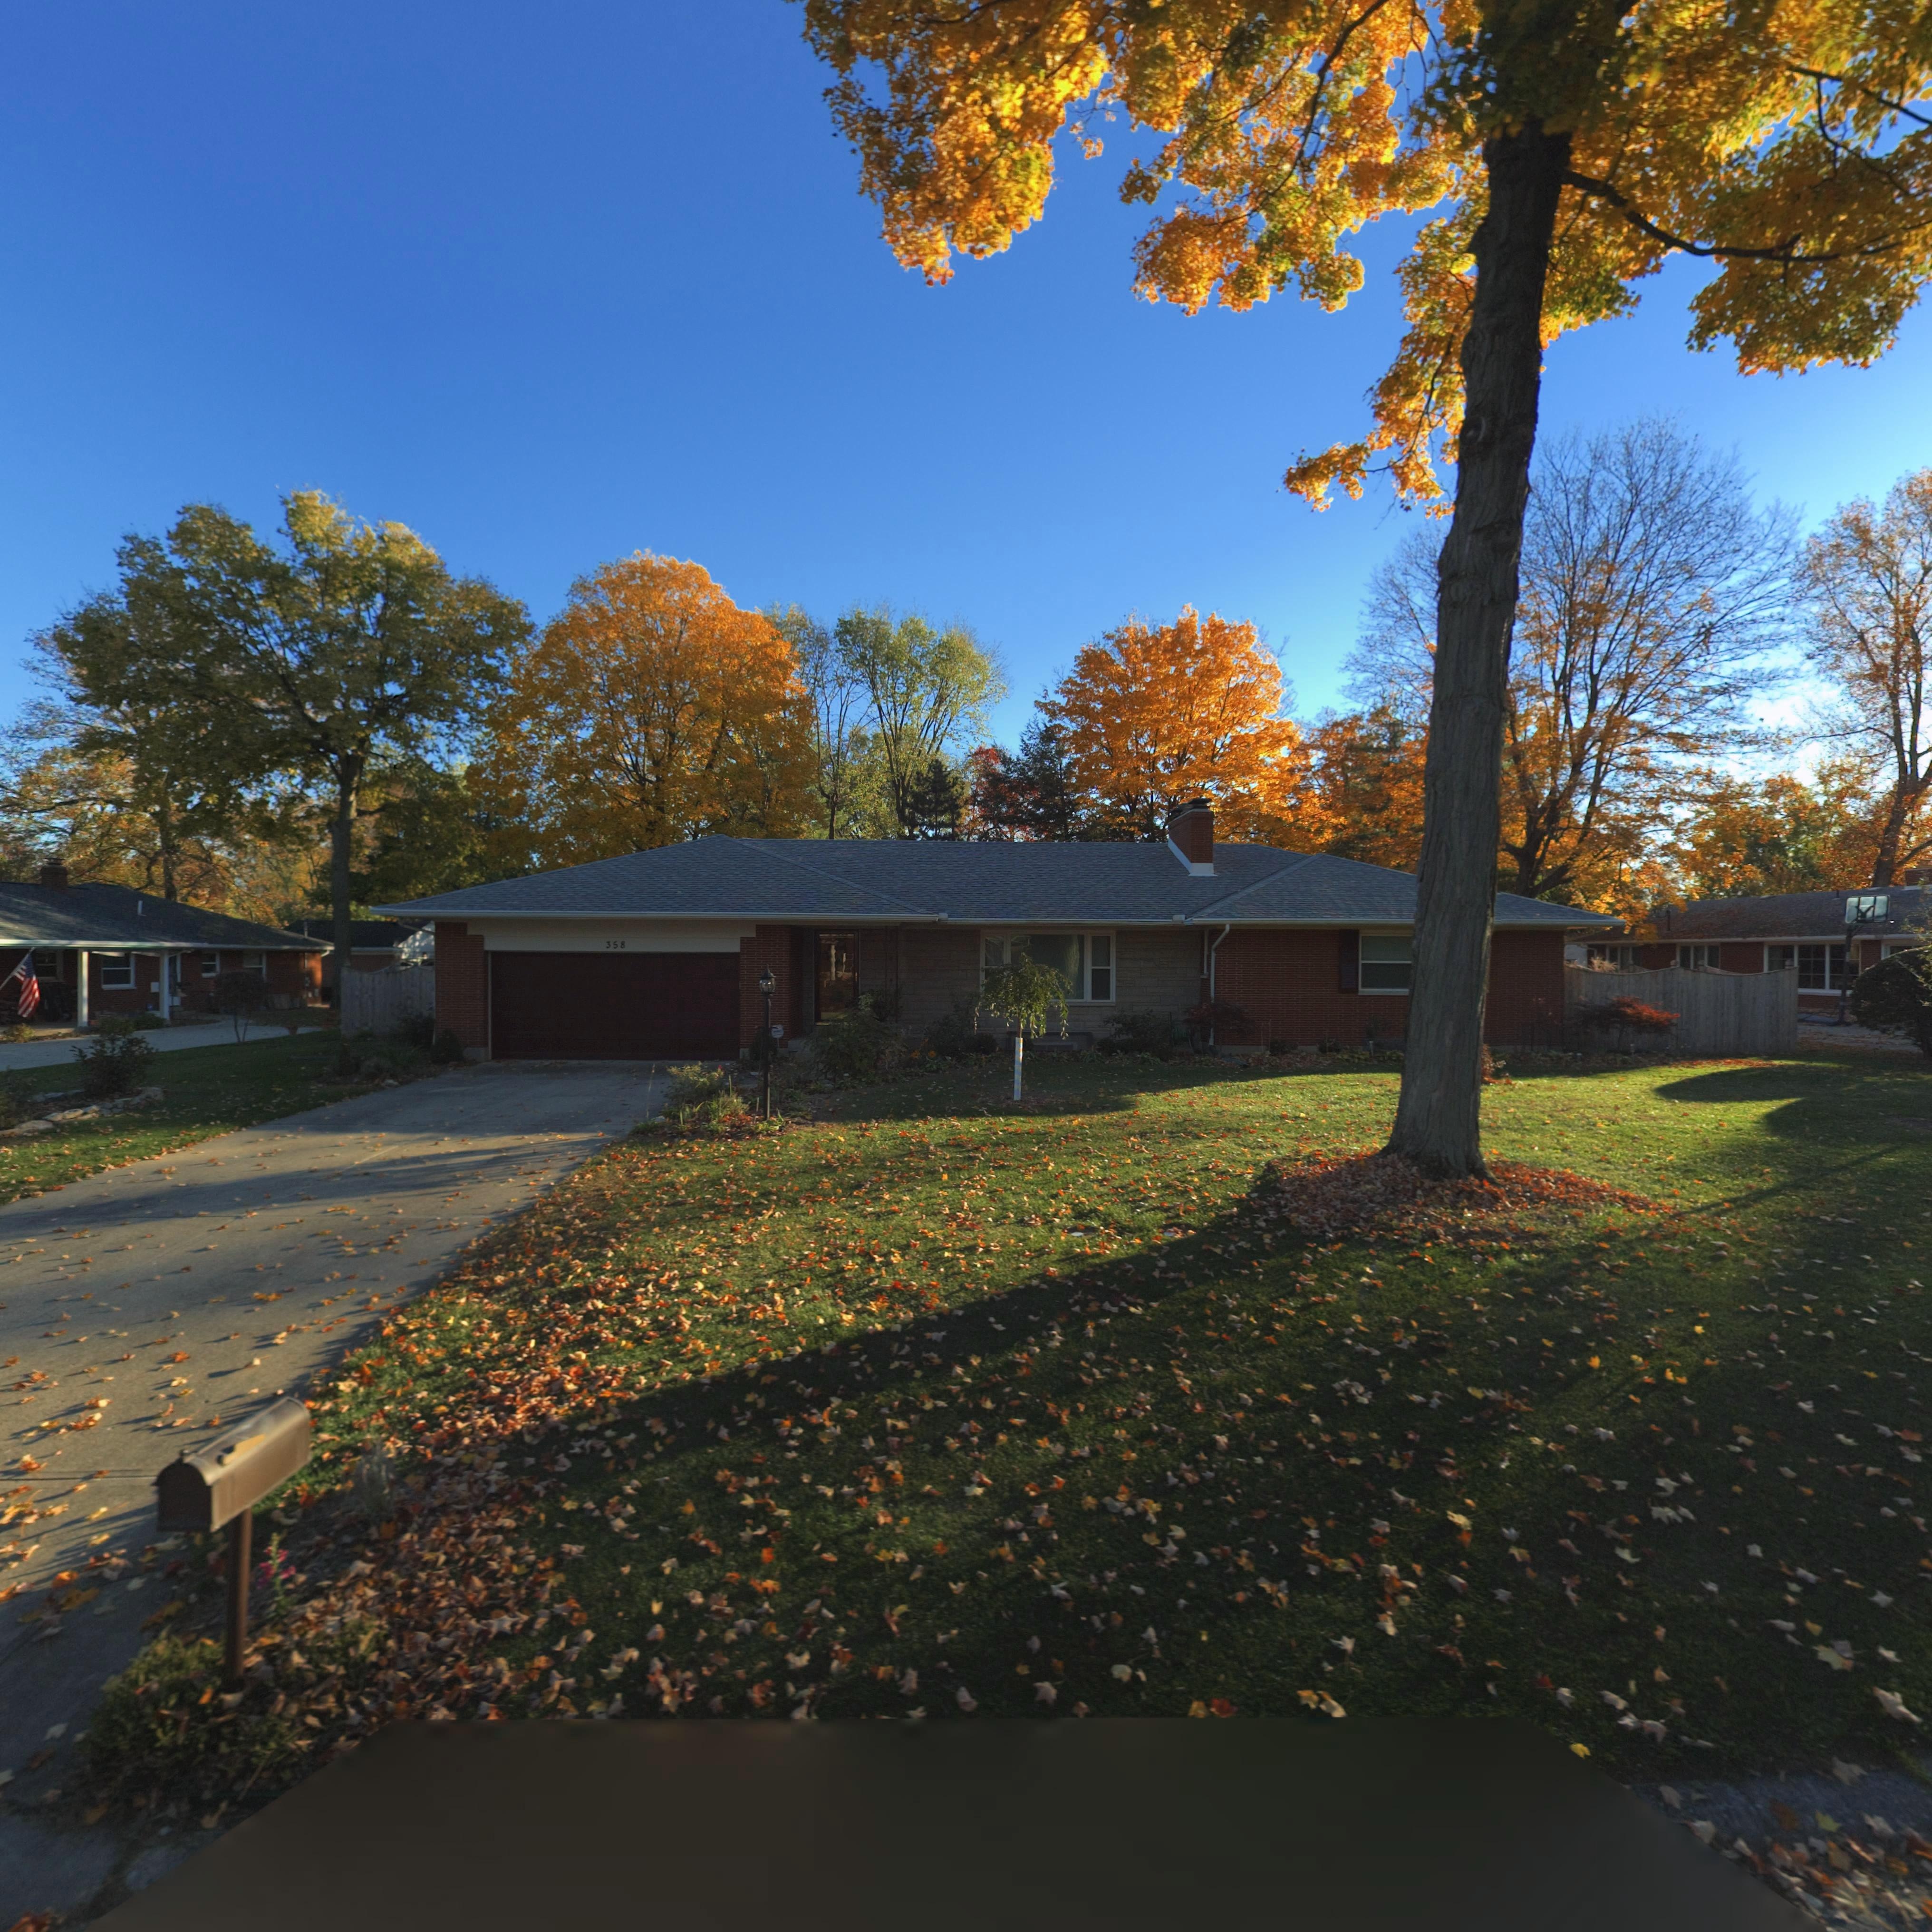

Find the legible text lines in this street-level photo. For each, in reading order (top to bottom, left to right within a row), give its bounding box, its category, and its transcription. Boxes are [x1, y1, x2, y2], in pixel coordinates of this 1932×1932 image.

[605, 939, 626, 949] StreetNumber: 358